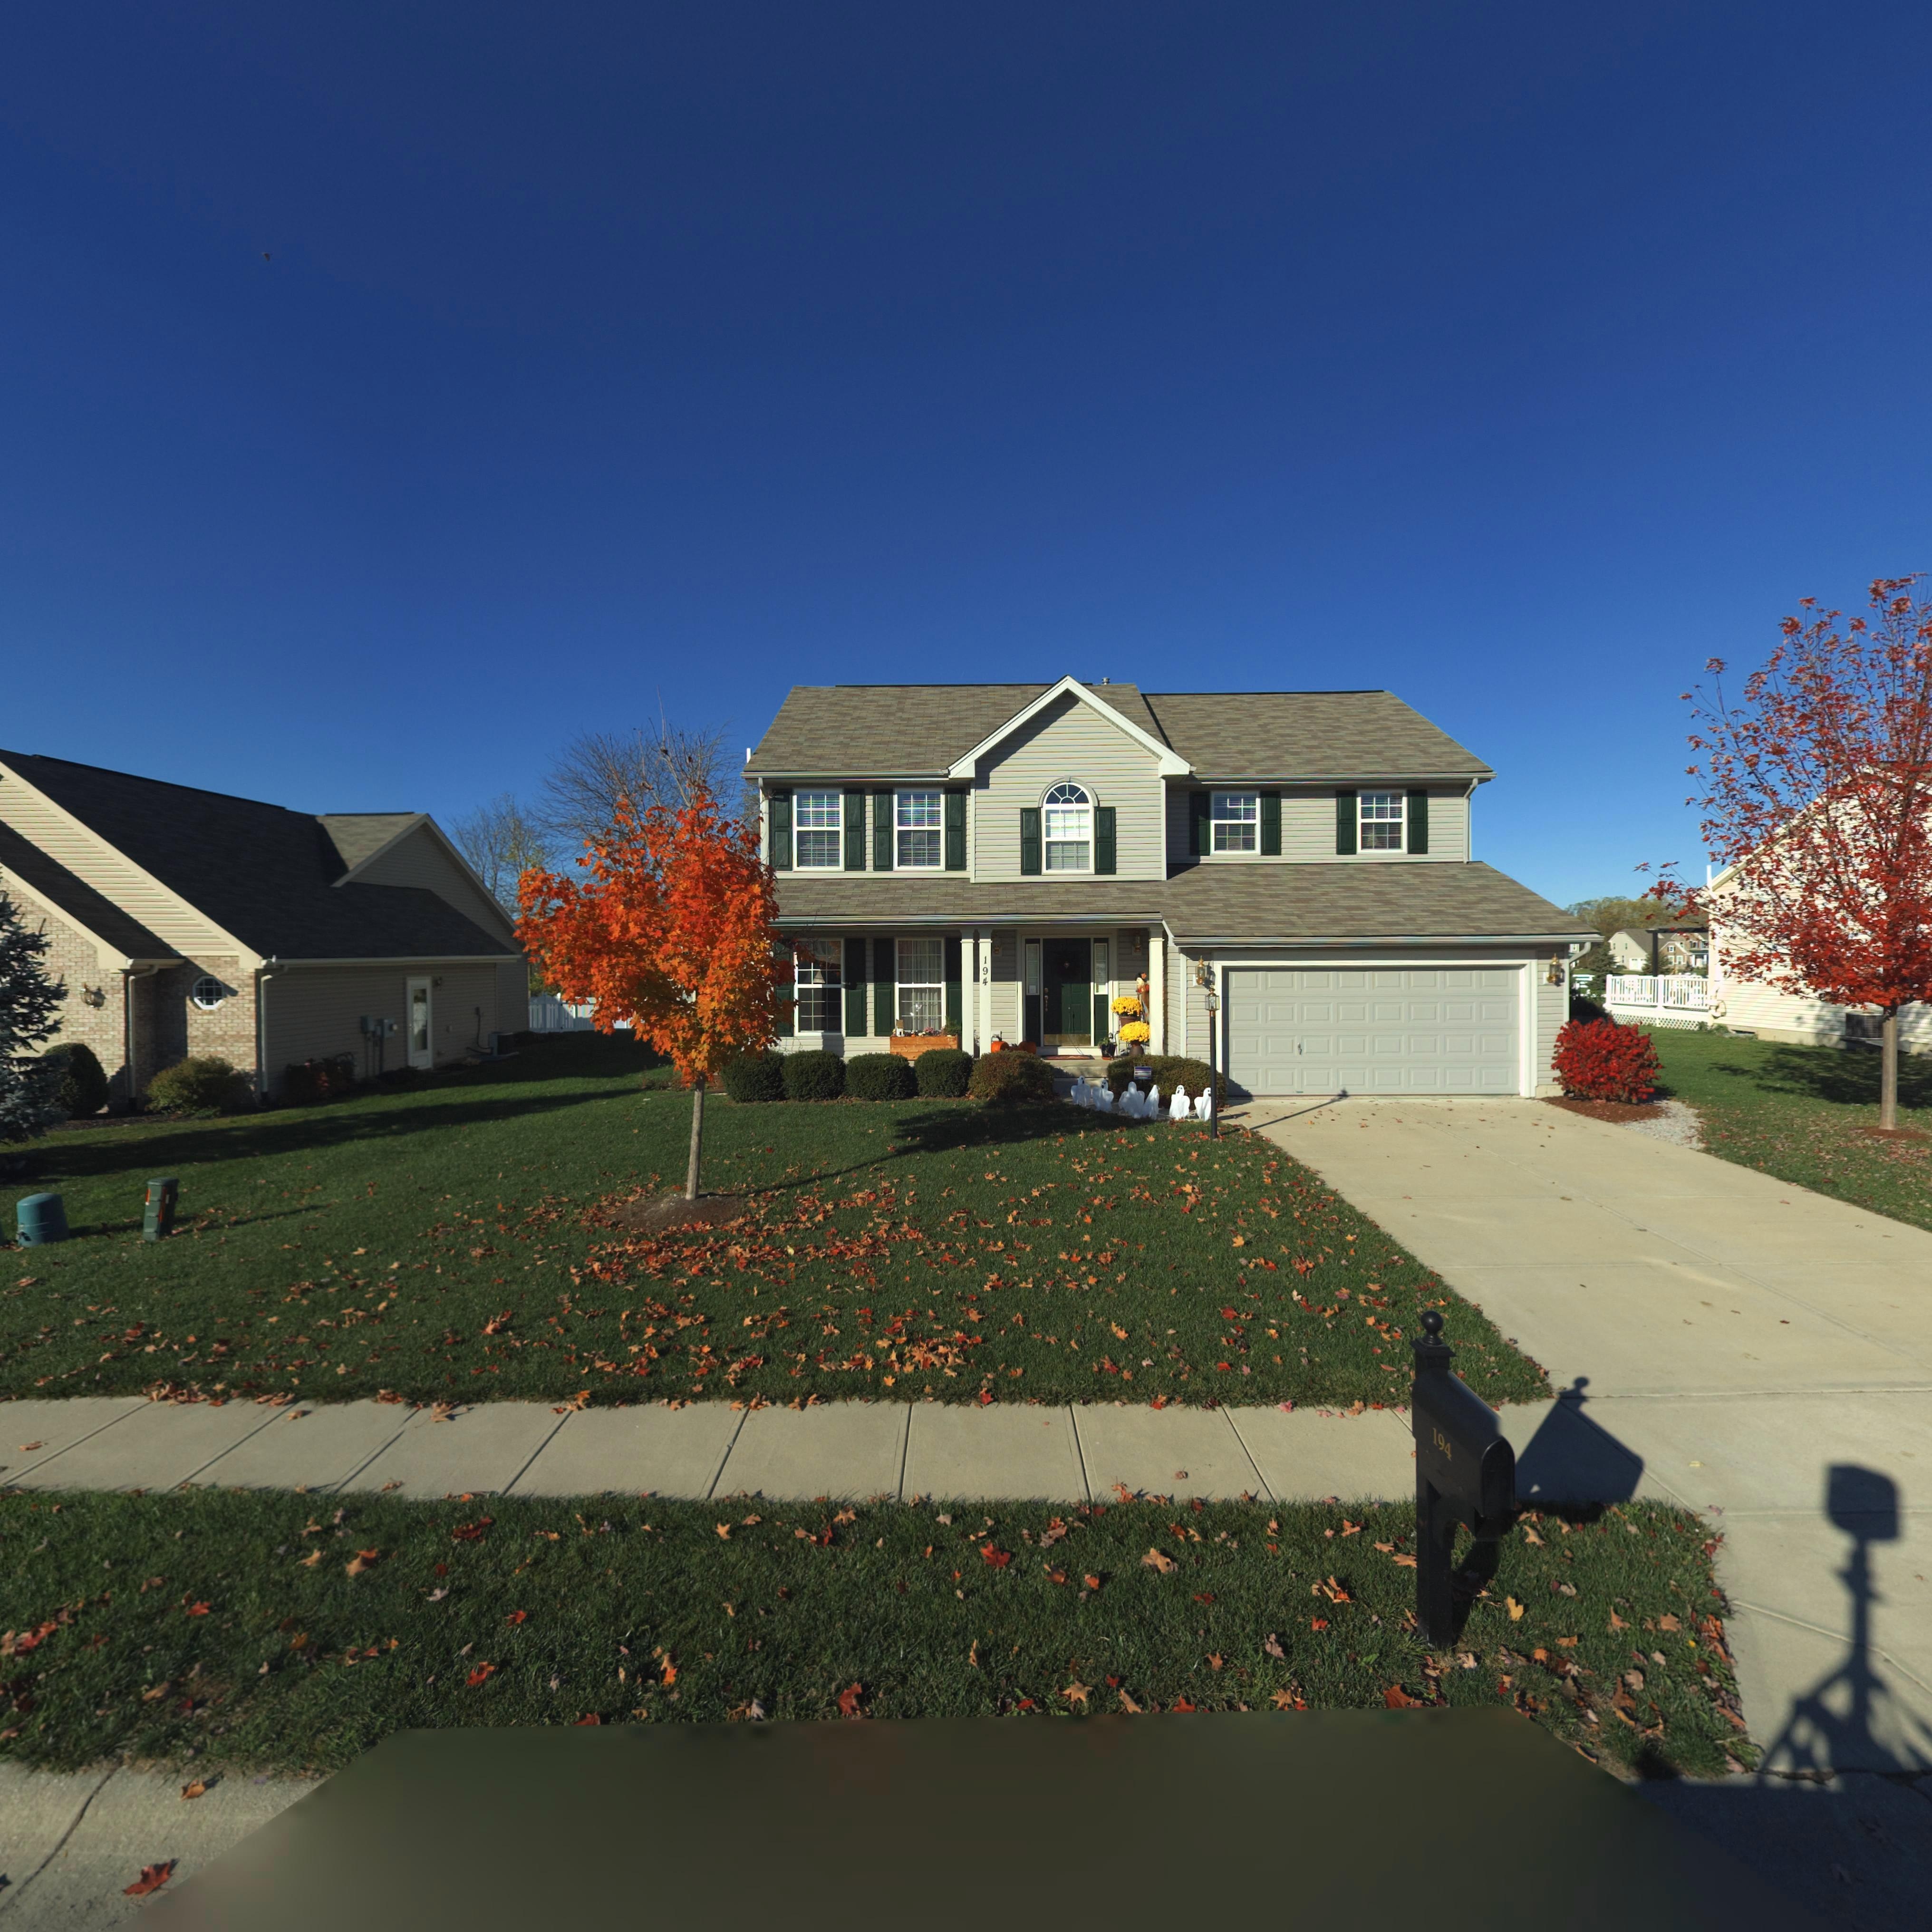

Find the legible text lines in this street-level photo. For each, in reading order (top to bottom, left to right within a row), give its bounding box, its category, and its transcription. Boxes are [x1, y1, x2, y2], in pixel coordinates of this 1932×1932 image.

[982, 954, 989, 986] StreetNumber: 194
[1431, 1424, 1452, 1463] StreetNumber: 194